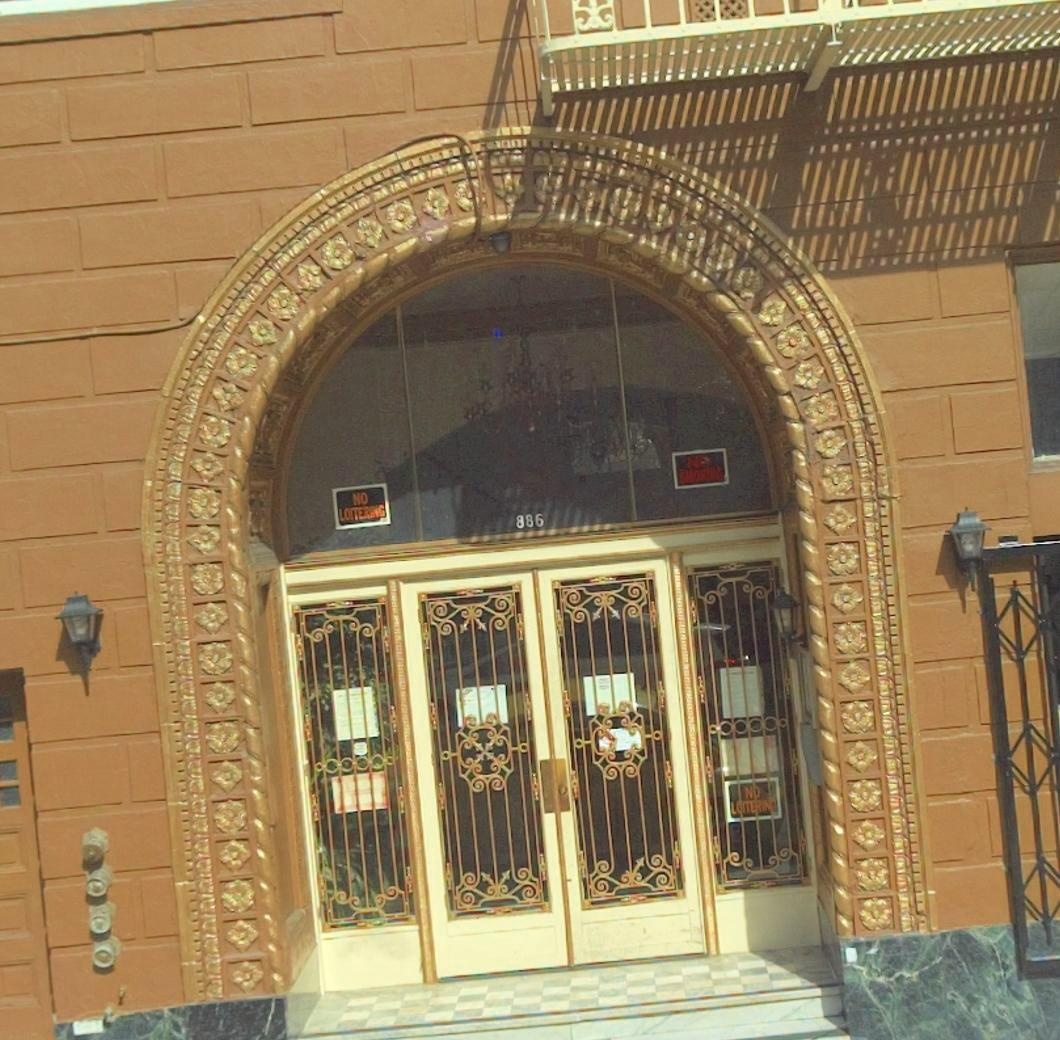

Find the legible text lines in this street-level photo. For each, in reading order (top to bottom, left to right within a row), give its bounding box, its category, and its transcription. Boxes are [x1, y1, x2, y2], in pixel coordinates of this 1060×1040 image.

[682, 454, 702, 473] None: N
[714, 465, 725, 483] None: G
[348, 486, 372, 510] None: NO
[335, 498, 389, 527] None: LOITERING
[512, 510, 548, 532] StreetNumber: 886
[742, 782, 755, 803] None: N
[727, 797, 779, 819] None: LOITERING